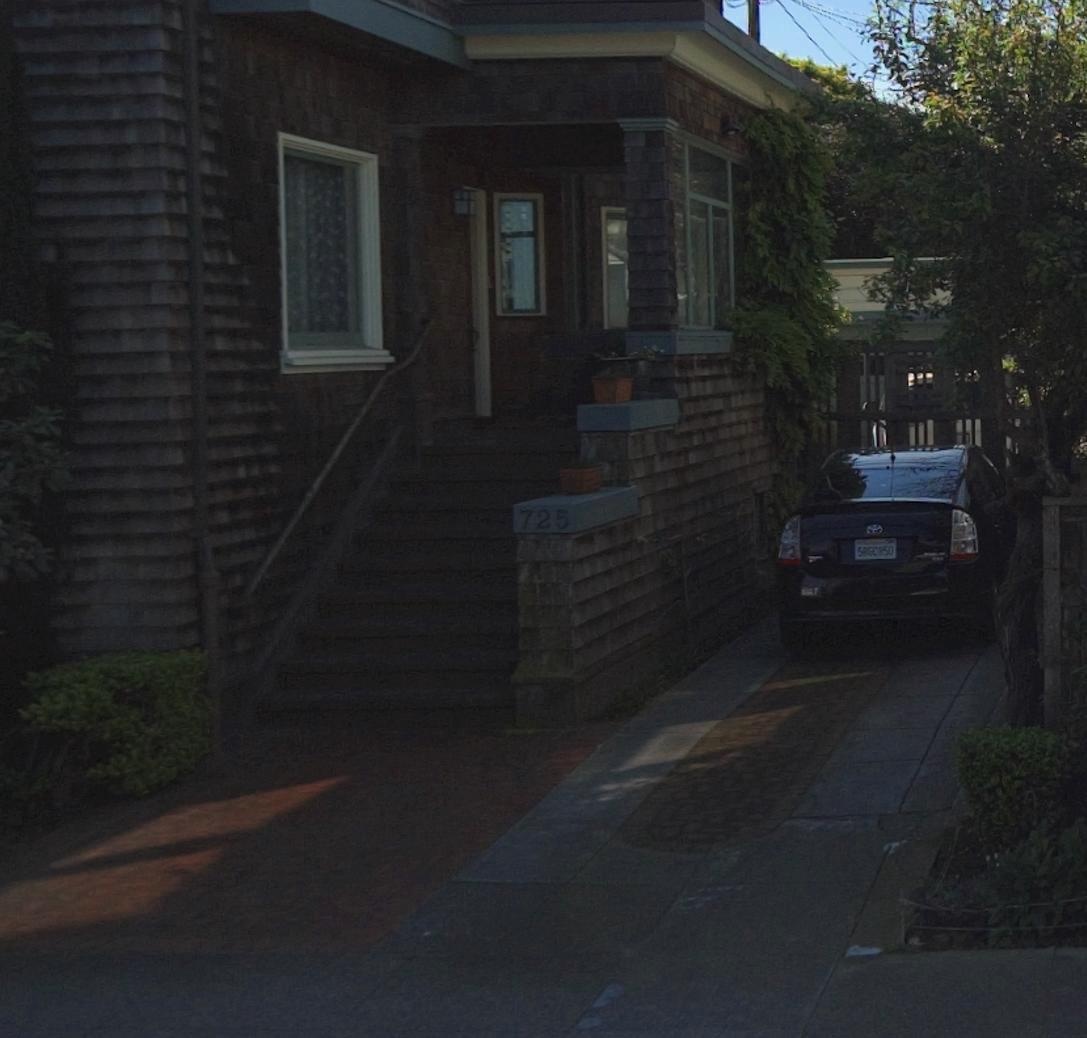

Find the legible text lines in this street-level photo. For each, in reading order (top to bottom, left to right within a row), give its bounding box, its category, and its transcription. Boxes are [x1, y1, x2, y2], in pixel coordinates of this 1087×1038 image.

[517, 507, 572, 532] StreetNumber: 725
[856, 545, 893, 558] None: 58**C*50